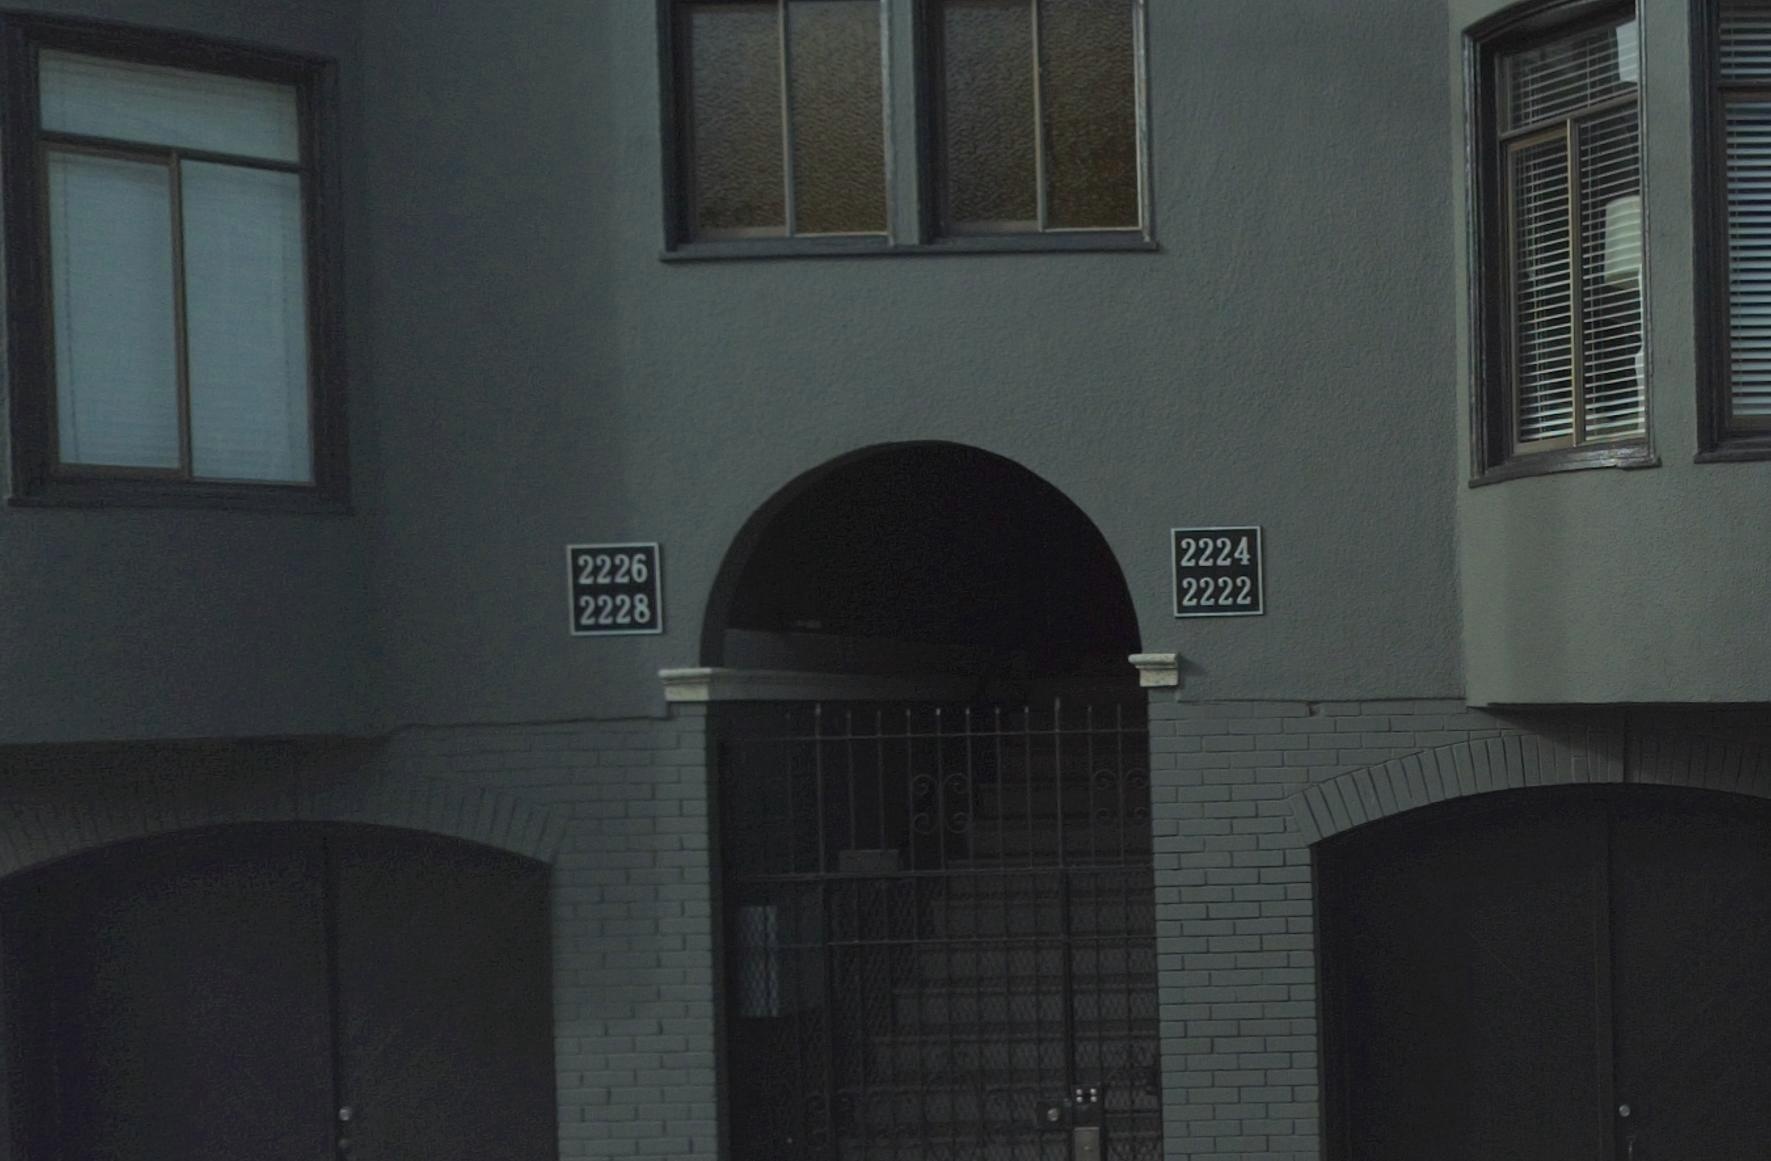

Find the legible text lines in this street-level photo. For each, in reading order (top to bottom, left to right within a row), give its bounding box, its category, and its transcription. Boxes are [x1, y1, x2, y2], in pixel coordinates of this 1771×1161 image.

[573, 550, 651, 588] StreetNumber: 2226
[1177, 532, 1253, 571] StreetNumber: 2224
[574, 588, 657, 630] StreetNumber: 2228
[1178, 572, 1255, 610] StreetNumber: 2222